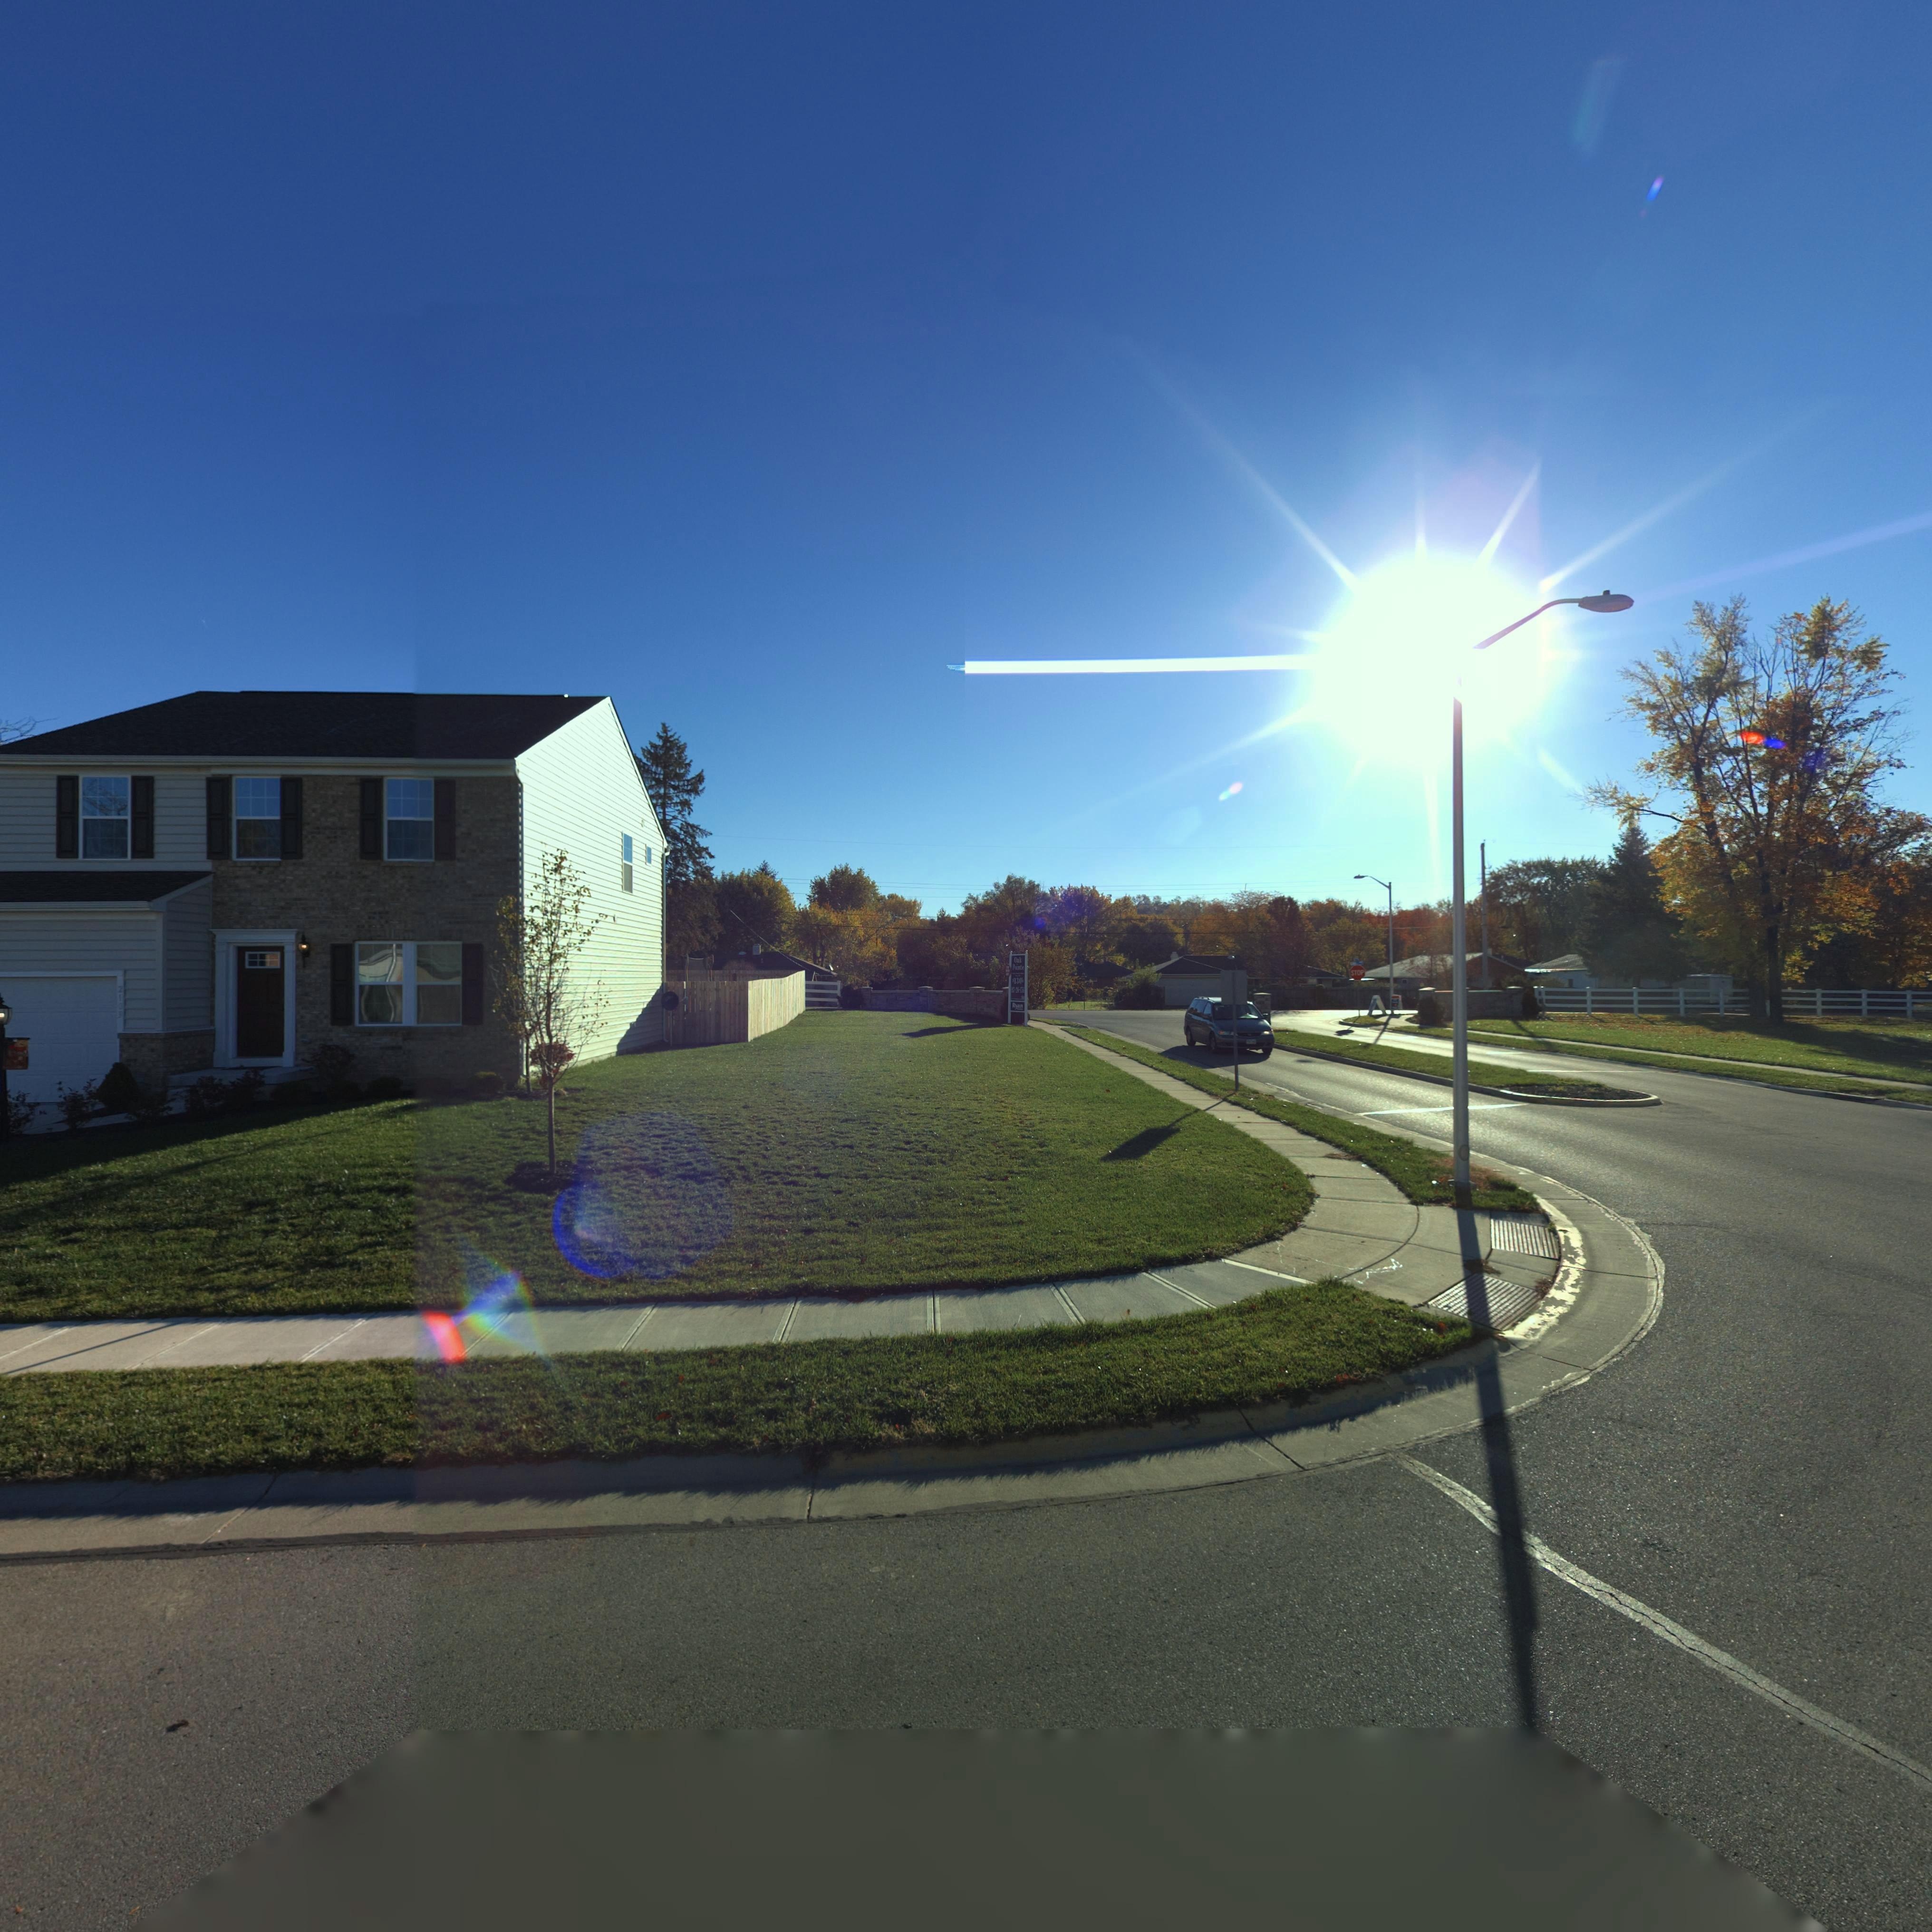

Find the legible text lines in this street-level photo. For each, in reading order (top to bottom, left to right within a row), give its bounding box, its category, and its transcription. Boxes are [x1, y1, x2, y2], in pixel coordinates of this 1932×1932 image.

[117, 985, 124, 1018] StreetNumber: 21**